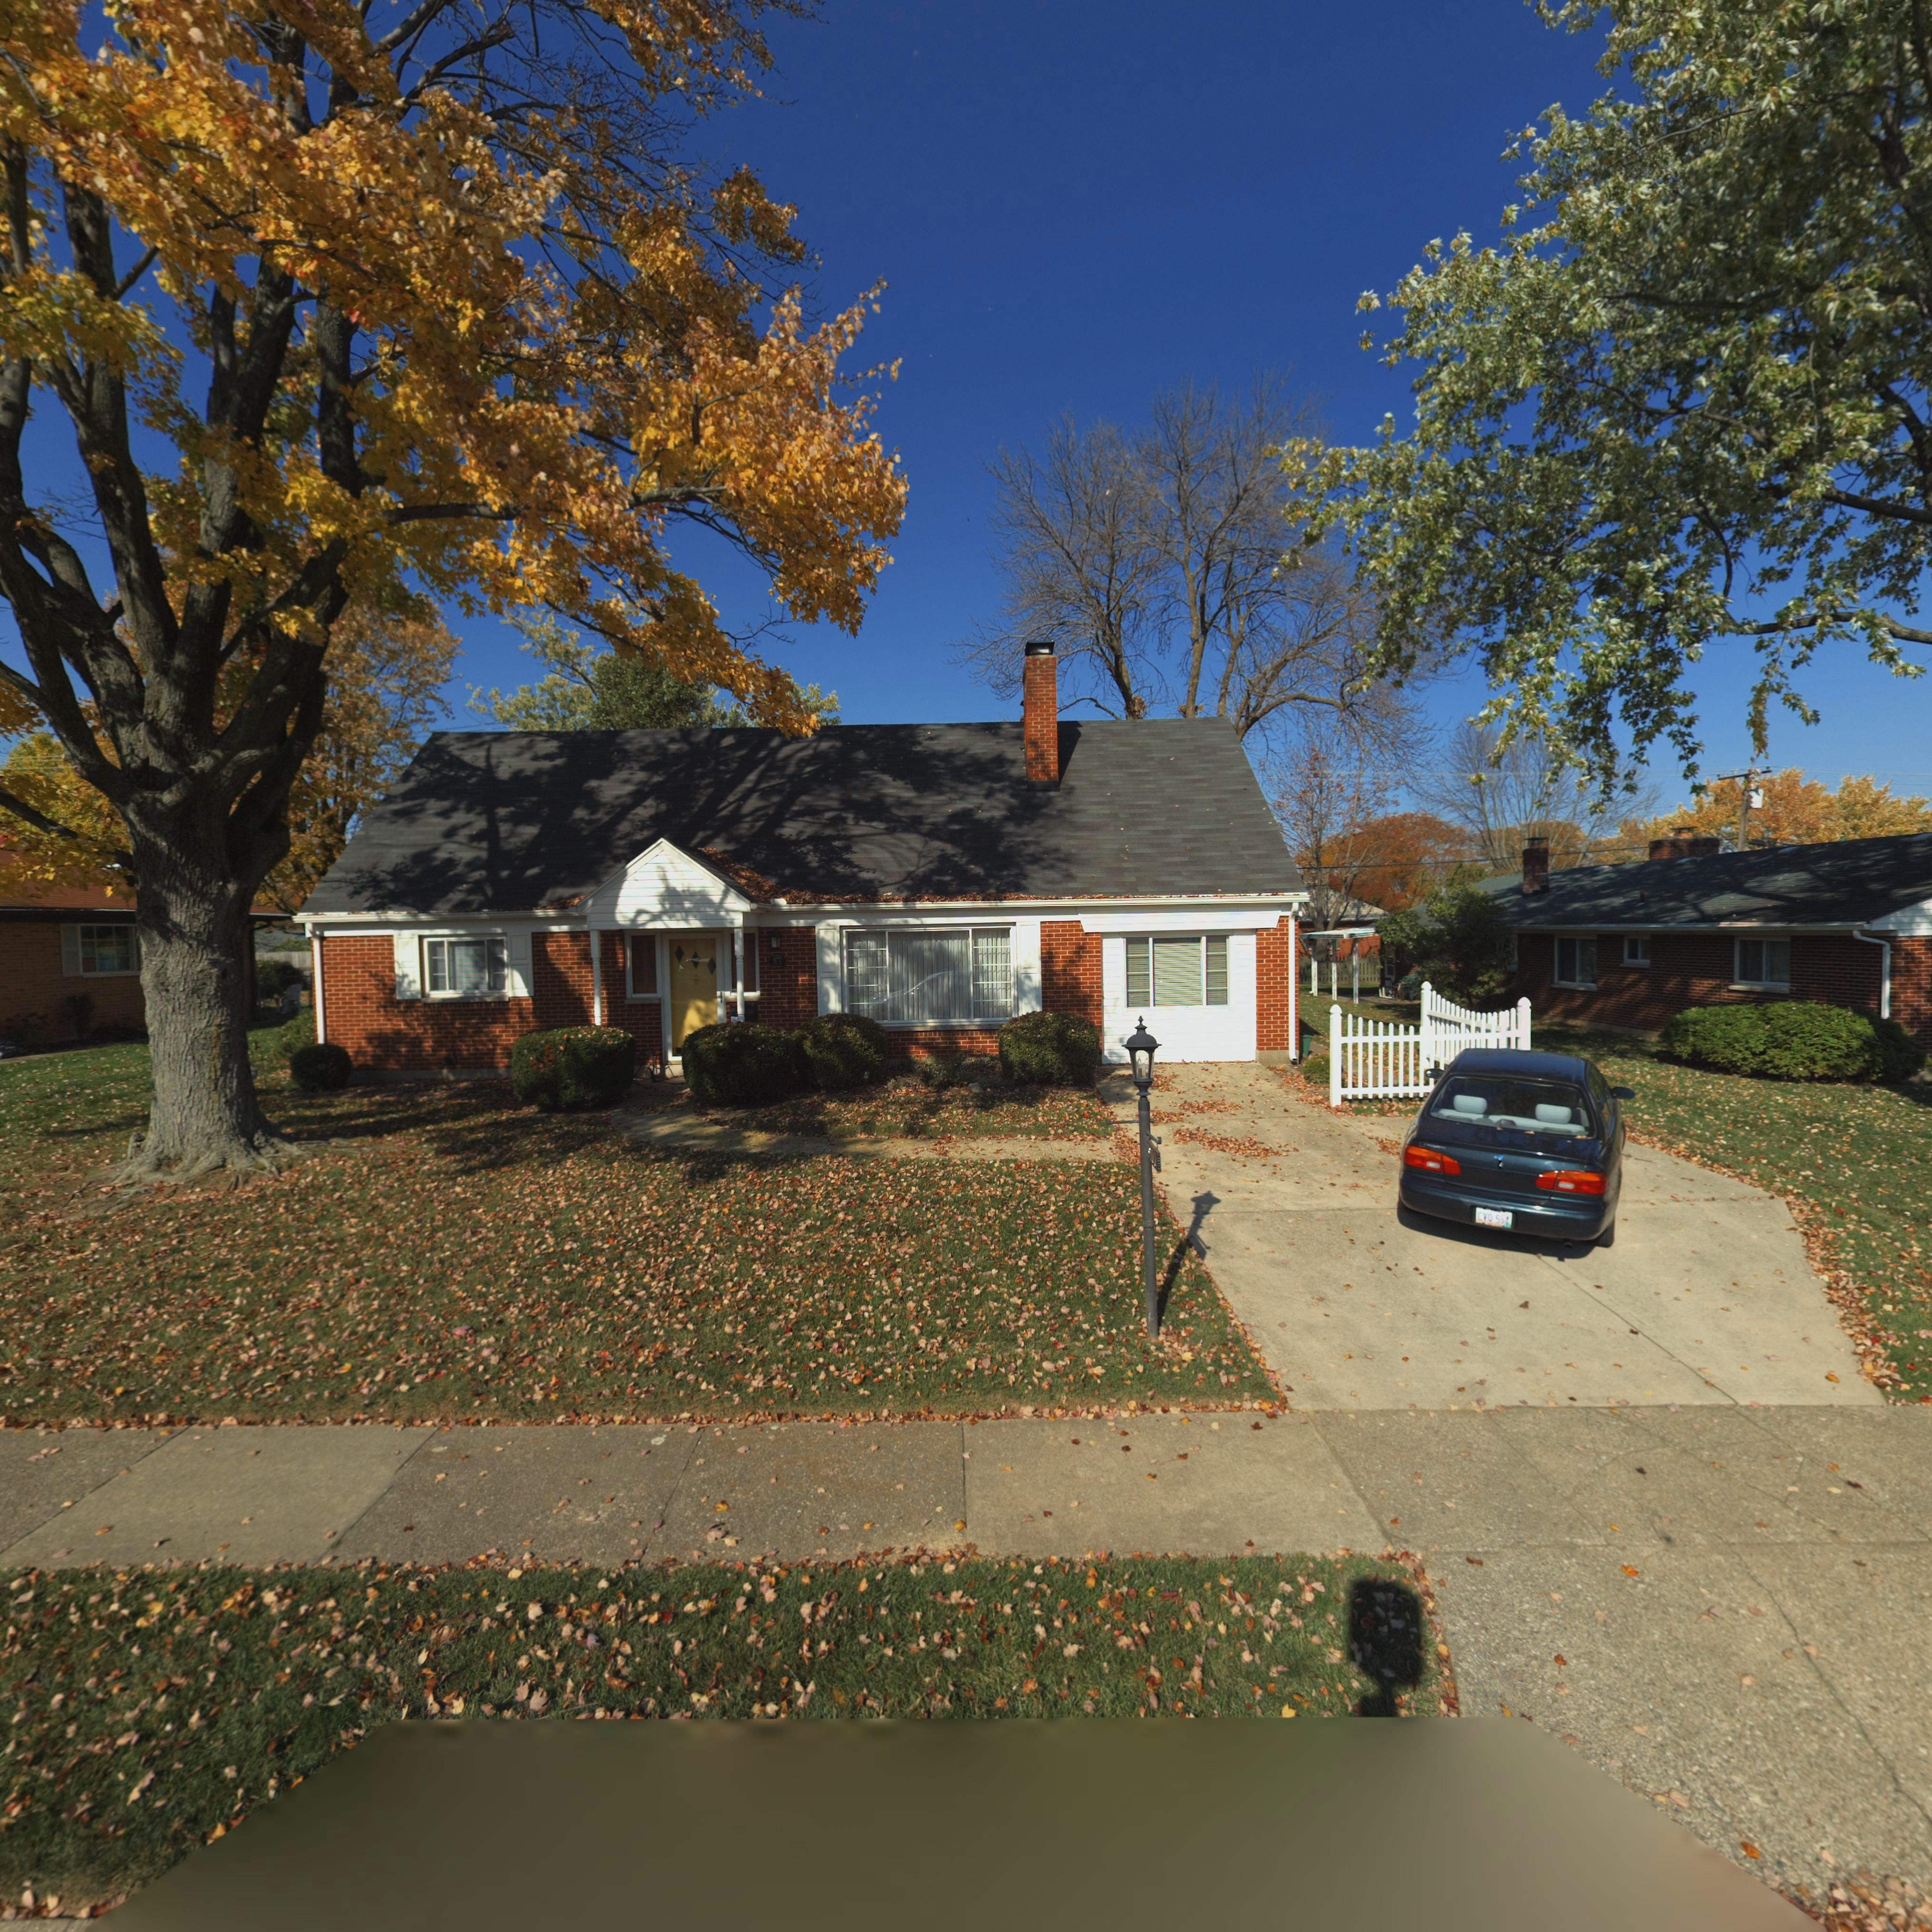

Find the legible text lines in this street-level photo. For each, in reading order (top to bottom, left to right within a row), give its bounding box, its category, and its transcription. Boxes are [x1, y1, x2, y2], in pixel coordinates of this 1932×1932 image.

[1475, 1209, 1511, 1227] None: CVO 56*